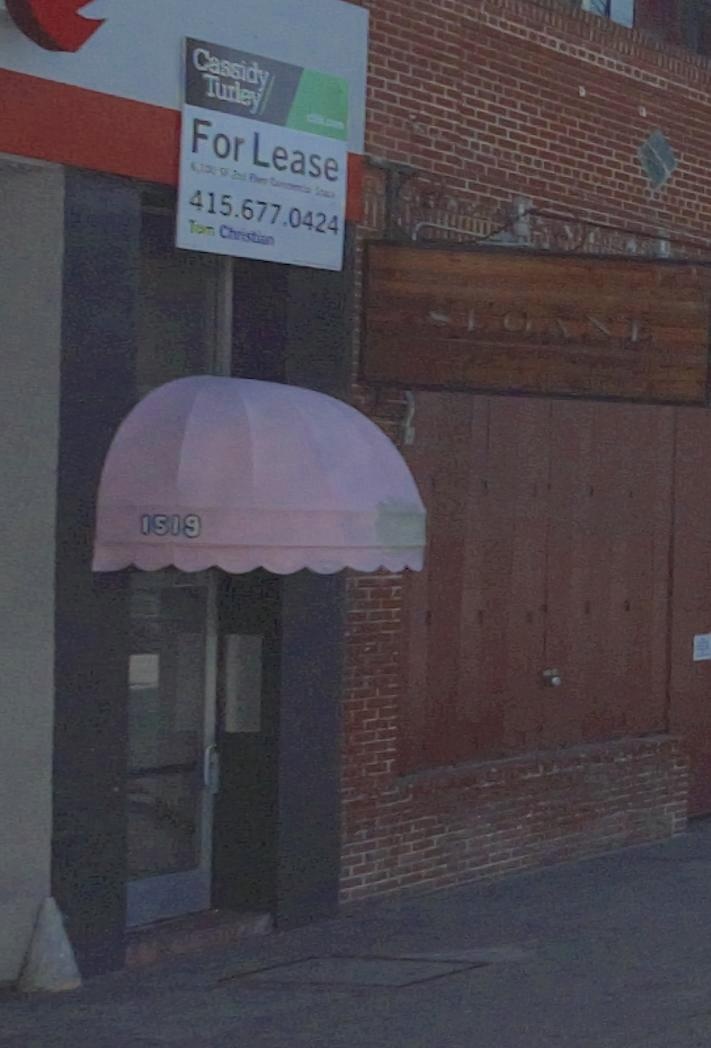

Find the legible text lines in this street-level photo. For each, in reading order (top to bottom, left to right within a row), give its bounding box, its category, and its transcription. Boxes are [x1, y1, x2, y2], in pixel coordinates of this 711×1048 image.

[191, 45, 274, 95] None: Cassidy
[201, 71, 268, 118] None: Turley
[189, 113, 341, 184] None: For Lease
[186, 186, 341, 236] None: 415.677.0424
[140, 513, 201, 540] StreetNumber: 1519